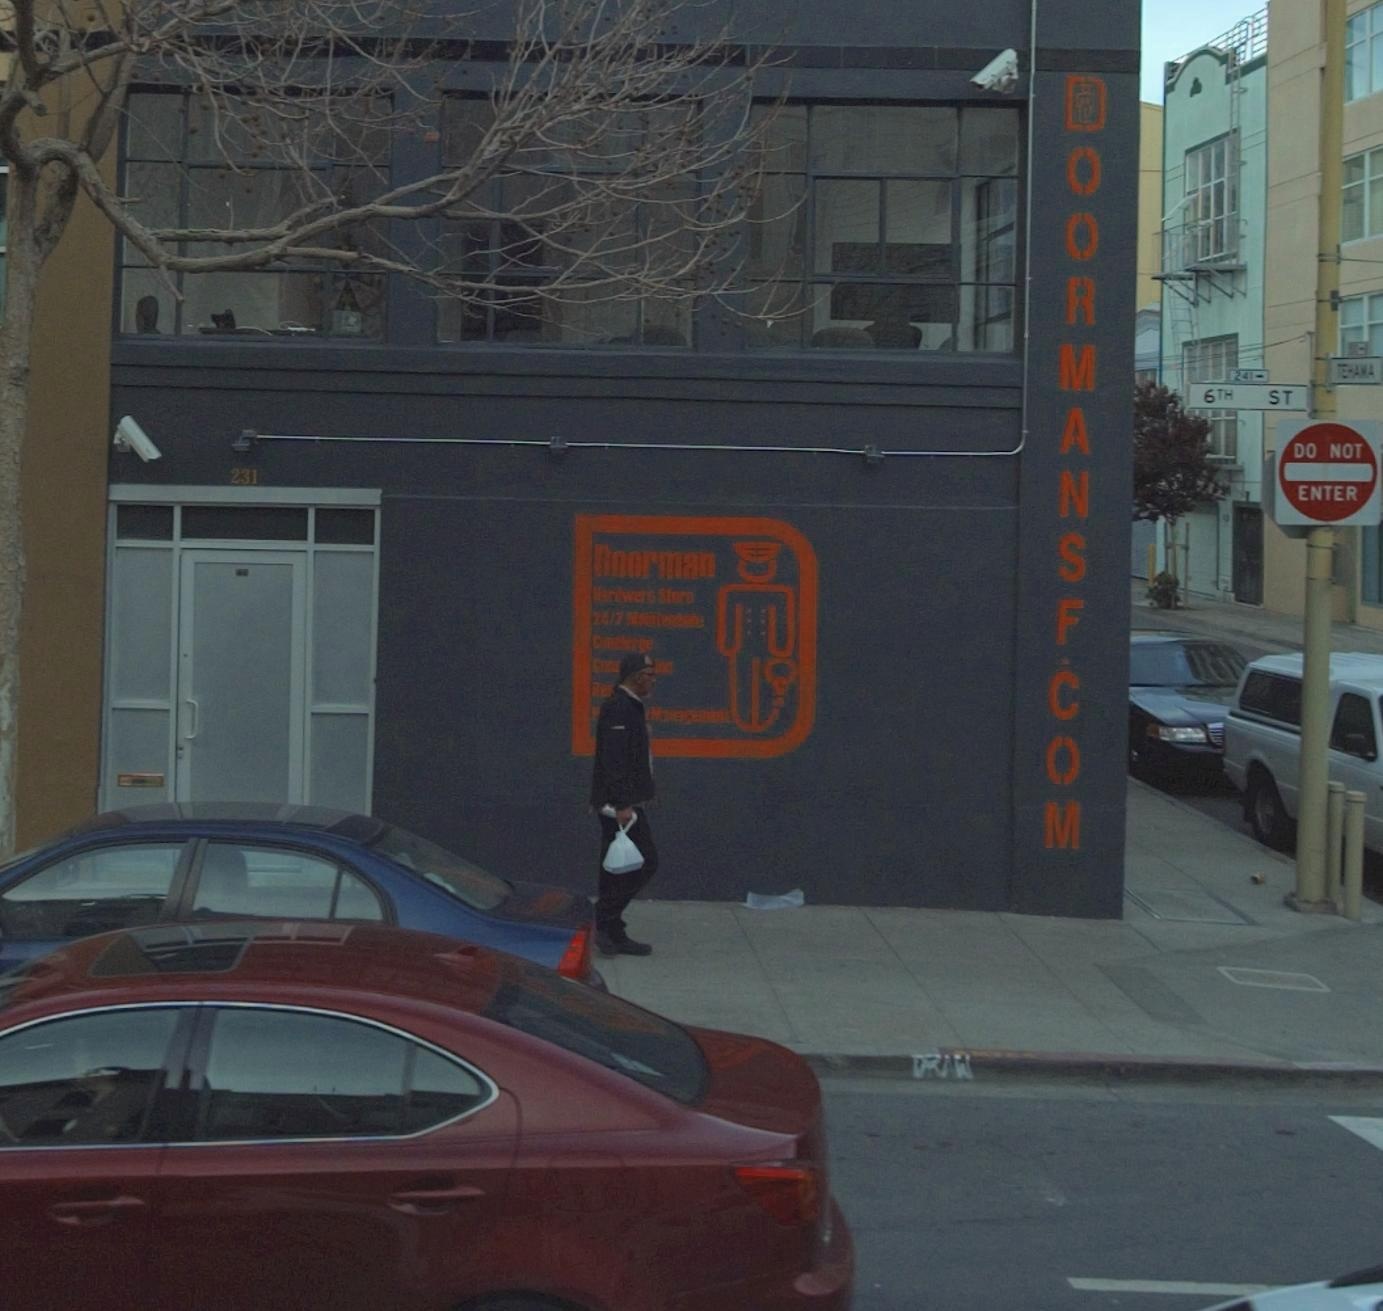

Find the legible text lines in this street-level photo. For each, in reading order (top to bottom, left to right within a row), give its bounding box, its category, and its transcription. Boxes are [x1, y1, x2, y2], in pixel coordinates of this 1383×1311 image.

[1230, 366, 1269, 384] None: 241->
[1333, 359, 1379, 383] None: *E*A*A
[1199, 385, 1298, 409] None: 6TH ST
[1292, 439, 1365, 461] None: DO NOT
[1039, 69, 1115, 856] None: DOORMANSF.COM
[228, 466, 260, 487] None: 231
[1295, 482, 1361, 504] None: ENTER
[591, 539, 719, 584] BusinessName: Doorman
[589, 584, 697, 608] None: Hardwers Store
[589, 608, 640, 631] None: 24/7 M